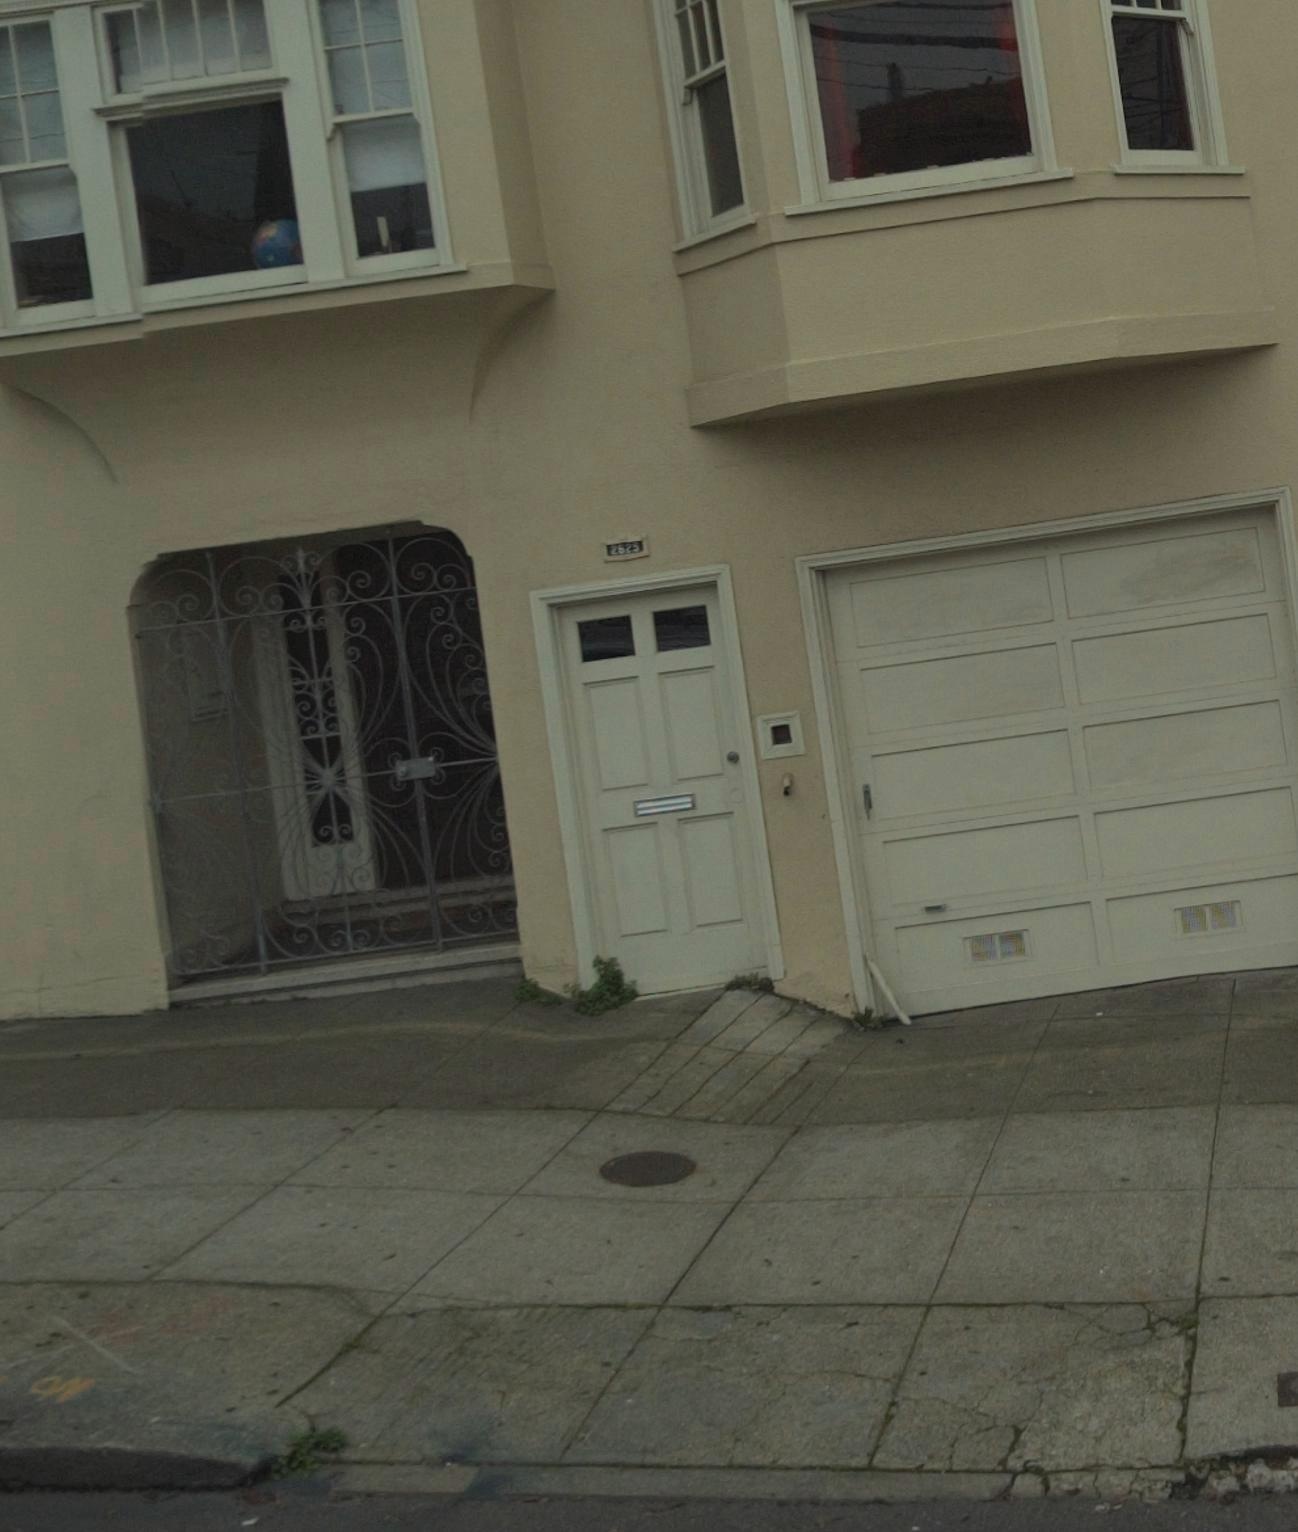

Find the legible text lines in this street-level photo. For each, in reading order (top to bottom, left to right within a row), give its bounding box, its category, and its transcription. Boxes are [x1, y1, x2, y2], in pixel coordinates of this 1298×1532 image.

[608, 541, 640, 556] StreetNumber: 2625